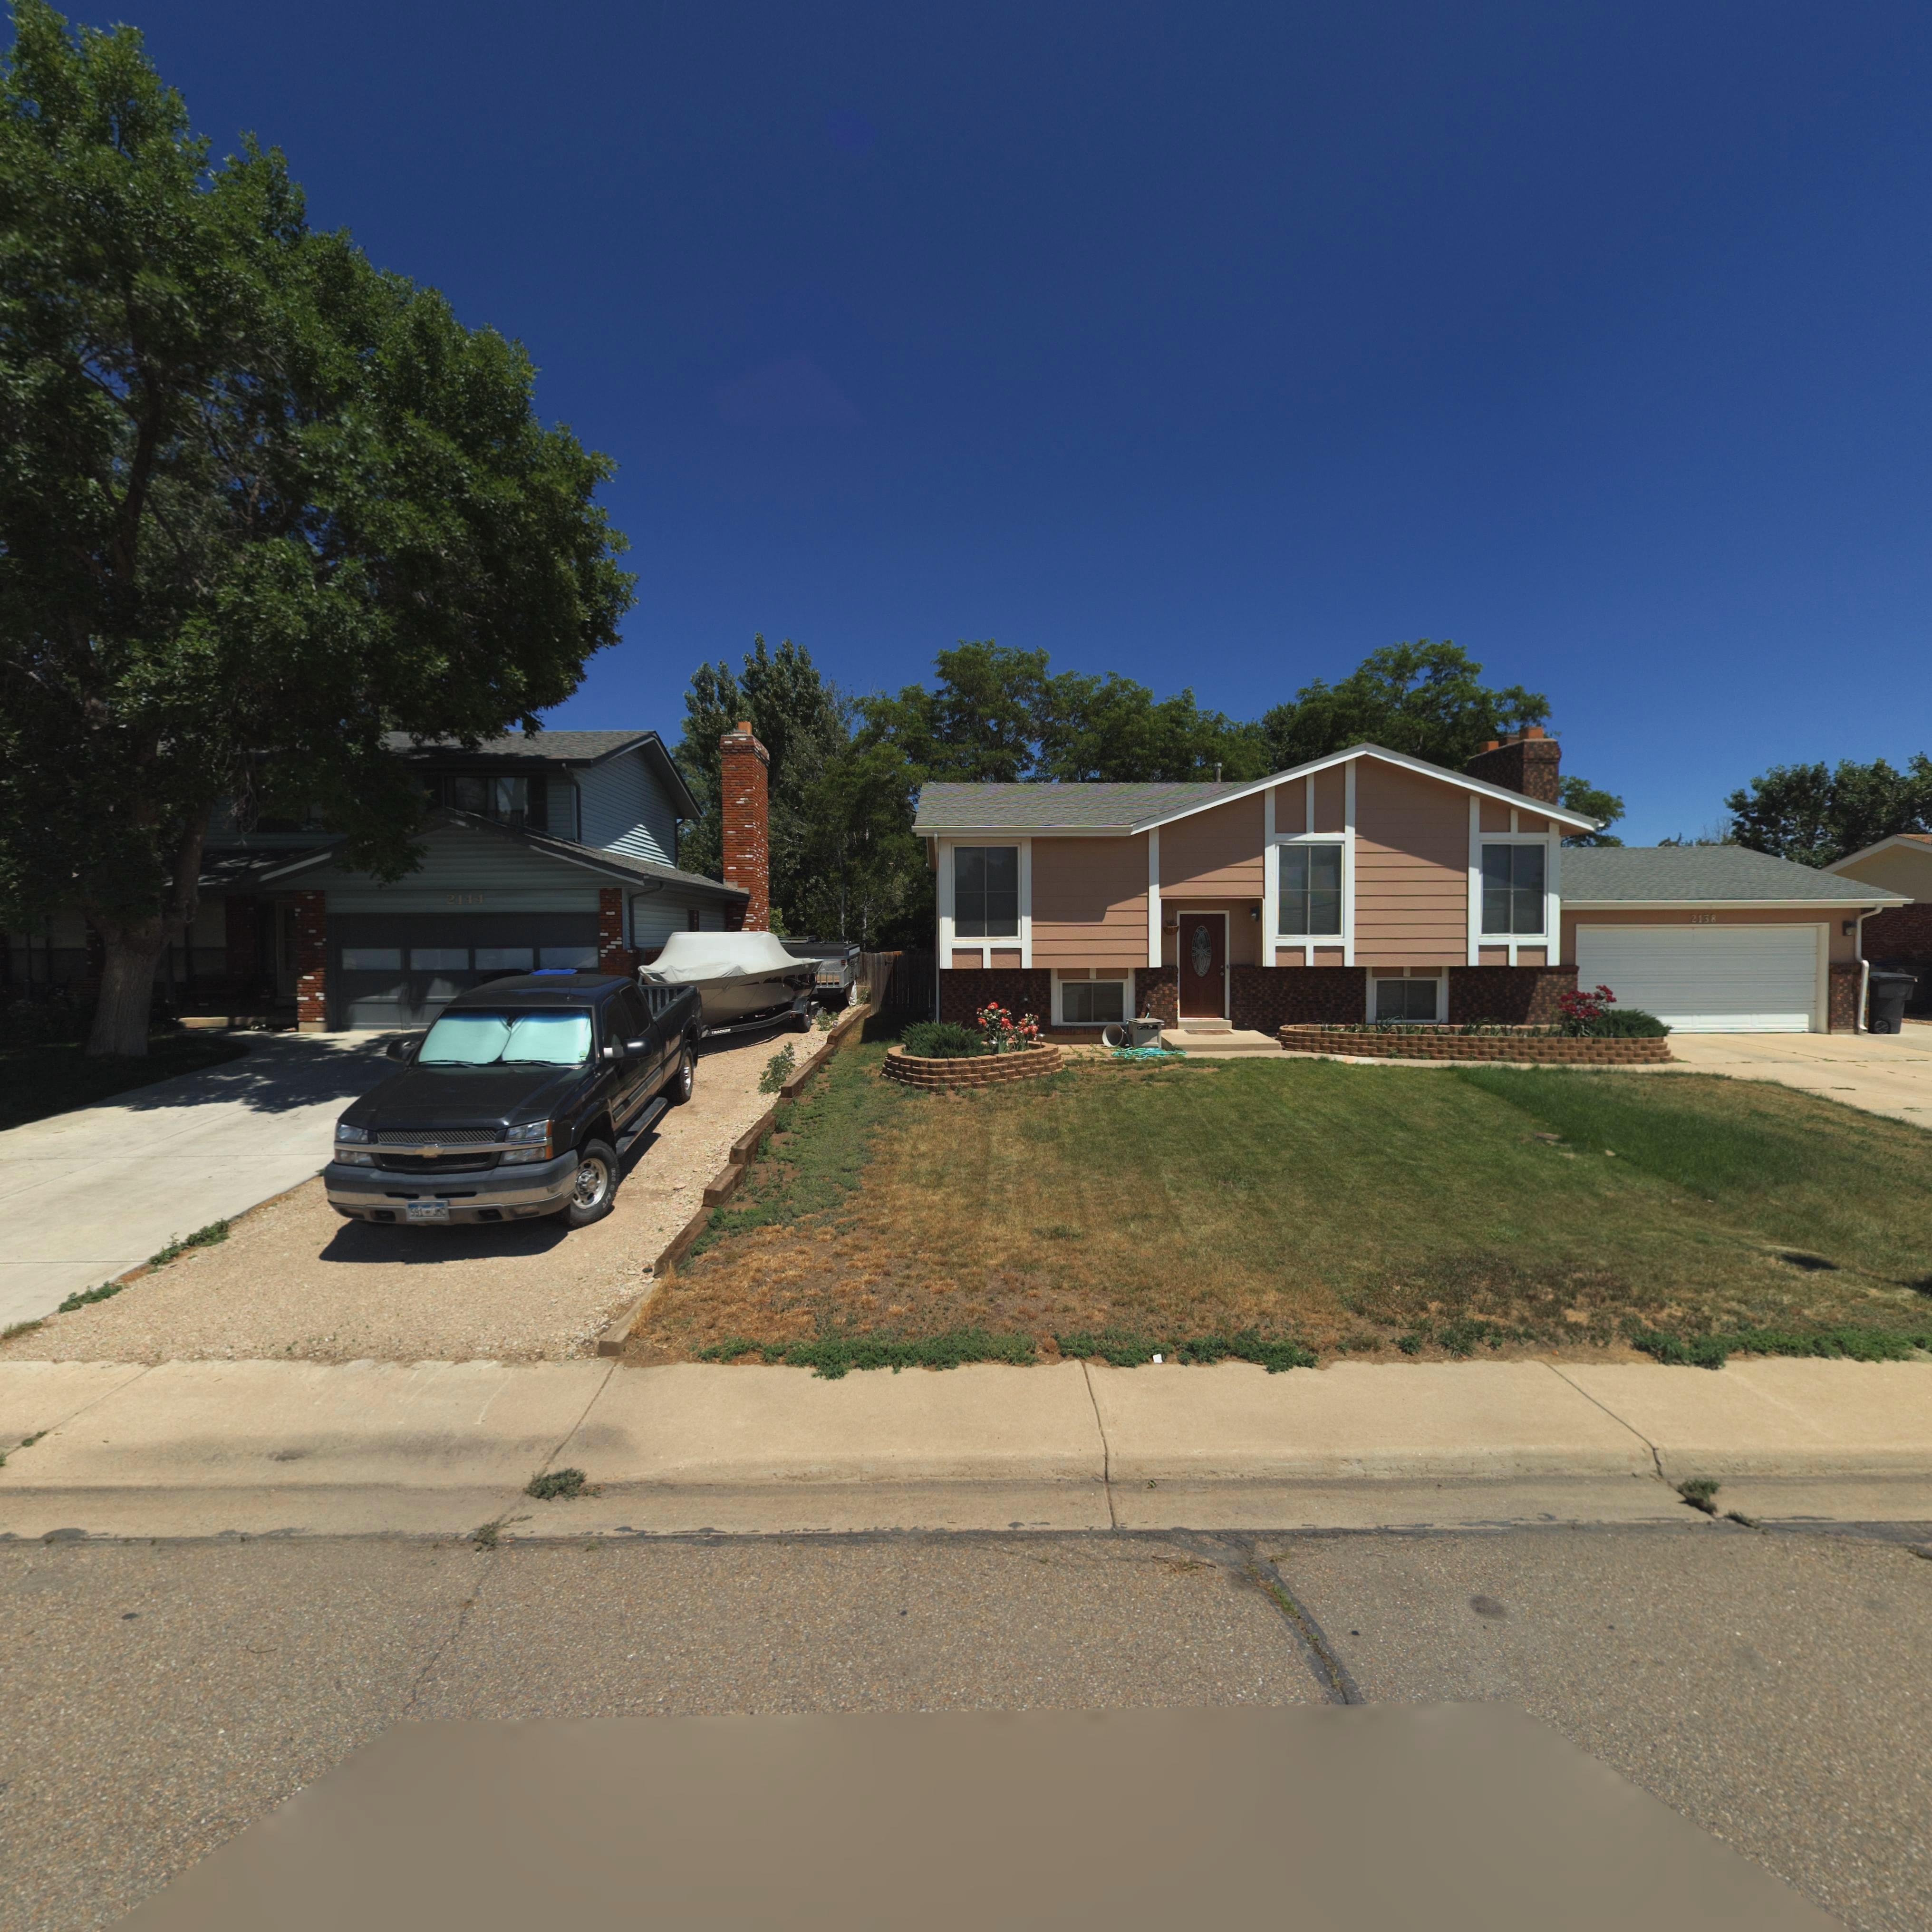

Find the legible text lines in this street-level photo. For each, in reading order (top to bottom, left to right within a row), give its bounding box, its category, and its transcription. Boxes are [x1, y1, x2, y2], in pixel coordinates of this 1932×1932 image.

[445, 894, 487, 905] StreetNumber: 2144
[1690, 914, 1717, 923] StreetNumber: 2138